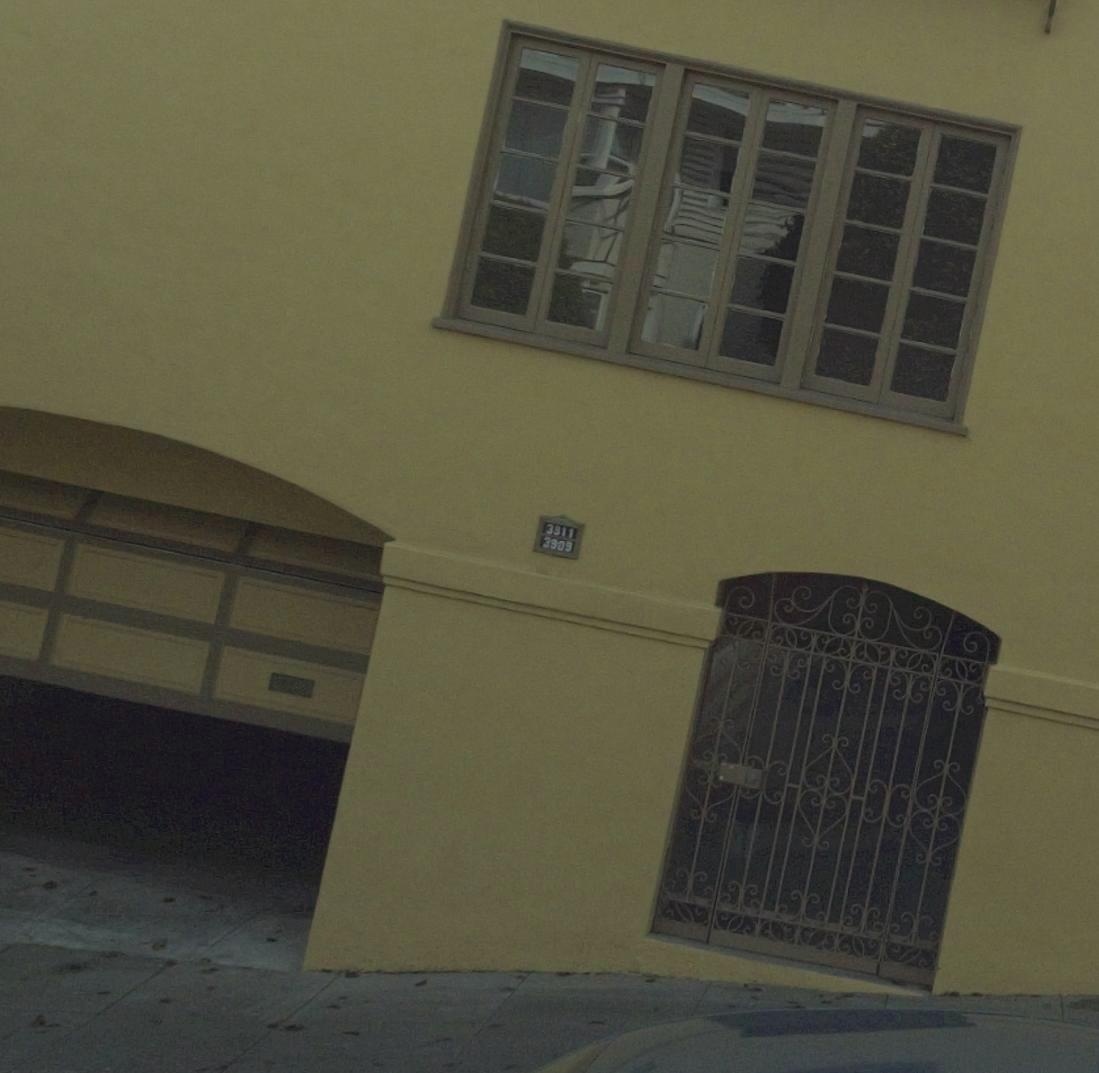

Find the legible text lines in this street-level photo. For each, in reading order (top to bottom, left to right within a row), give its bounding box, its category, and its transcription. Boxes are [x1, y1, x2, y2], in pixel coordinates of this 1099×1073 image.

[545, 523, 576, 539] StreetNumber: 3911
[542, 536, 574, 552] StreetNumber: 3909